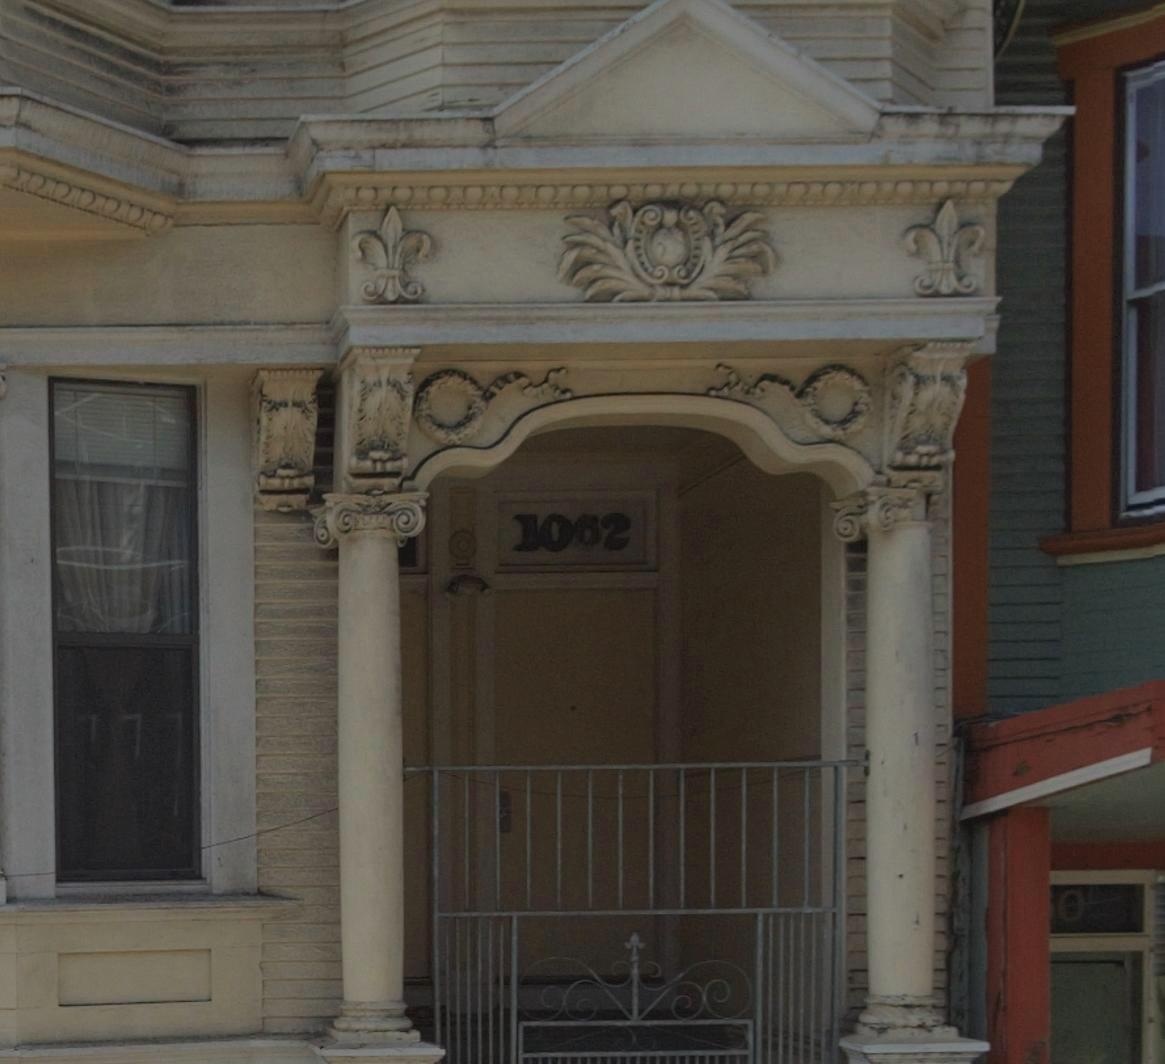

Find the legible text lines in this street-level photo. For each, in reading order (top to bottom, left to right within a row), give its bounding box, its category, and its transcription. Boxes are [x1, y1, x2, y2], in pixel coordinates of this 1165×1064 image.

[511, 511, 631, 555] StreetNumber: 1062
[1057, 887, 1085, 923] None: 0